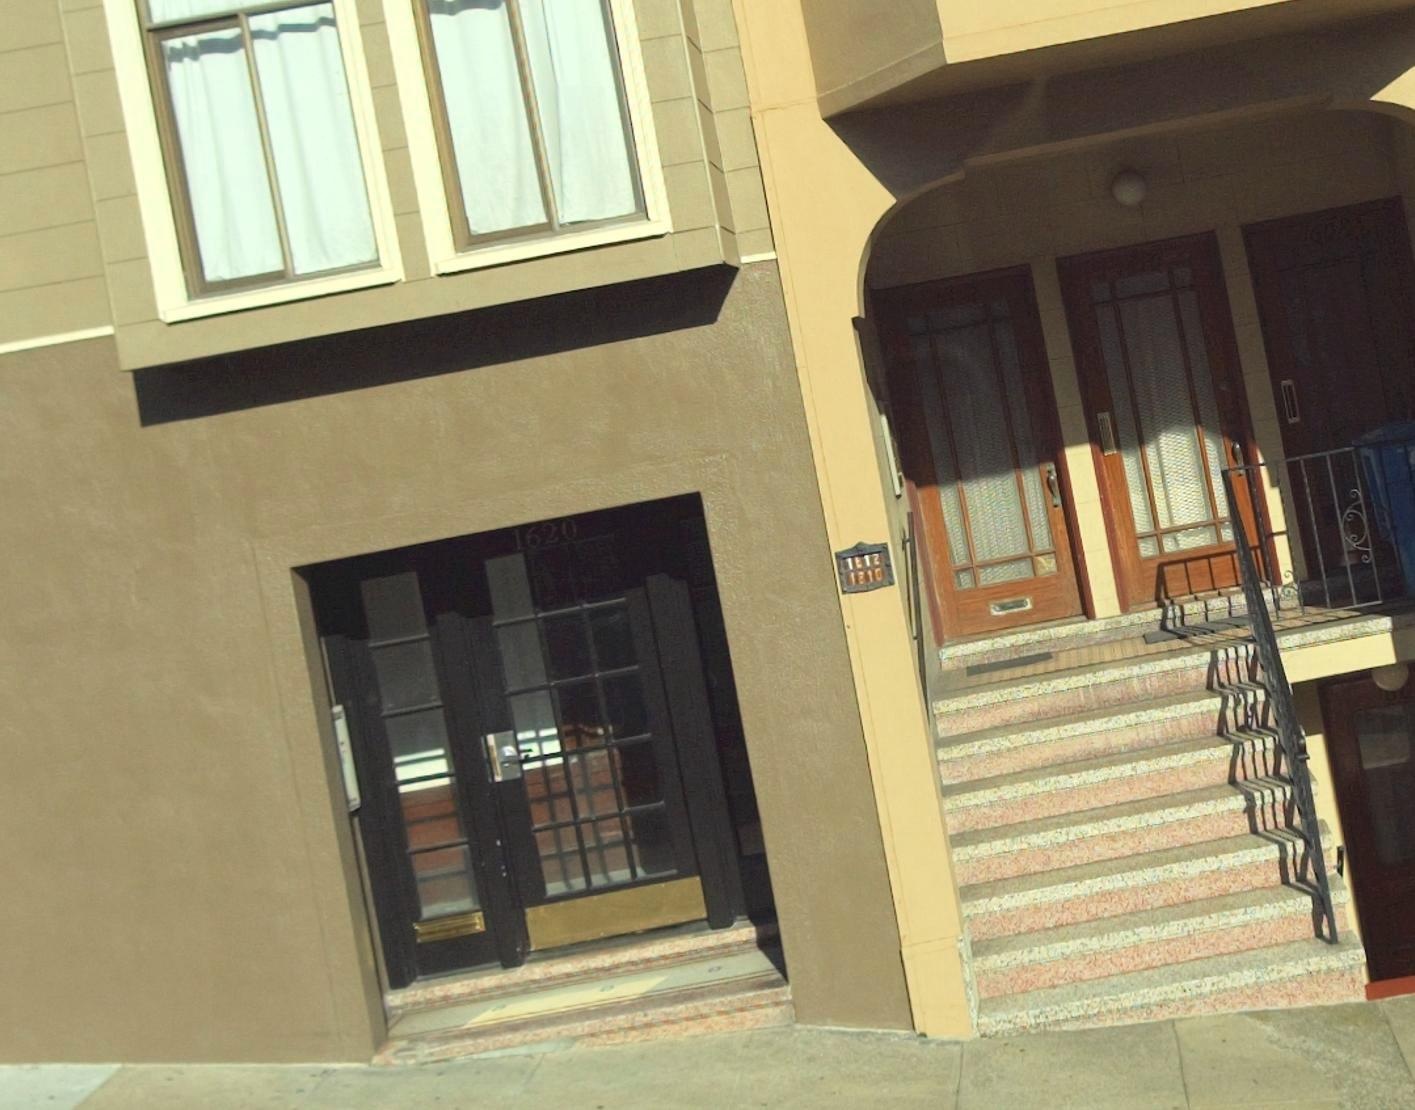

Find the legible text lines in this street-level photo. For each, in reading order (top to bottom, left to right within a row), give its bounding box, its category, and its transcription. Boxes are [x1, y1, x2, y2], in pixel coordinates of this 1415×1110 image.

[508, 516, 581, 555] StreetNumber: 1620
[844, 552, 881, 572] StreetNumber: 1612
[848, 566, 884, 588] StreetNumber: 1610